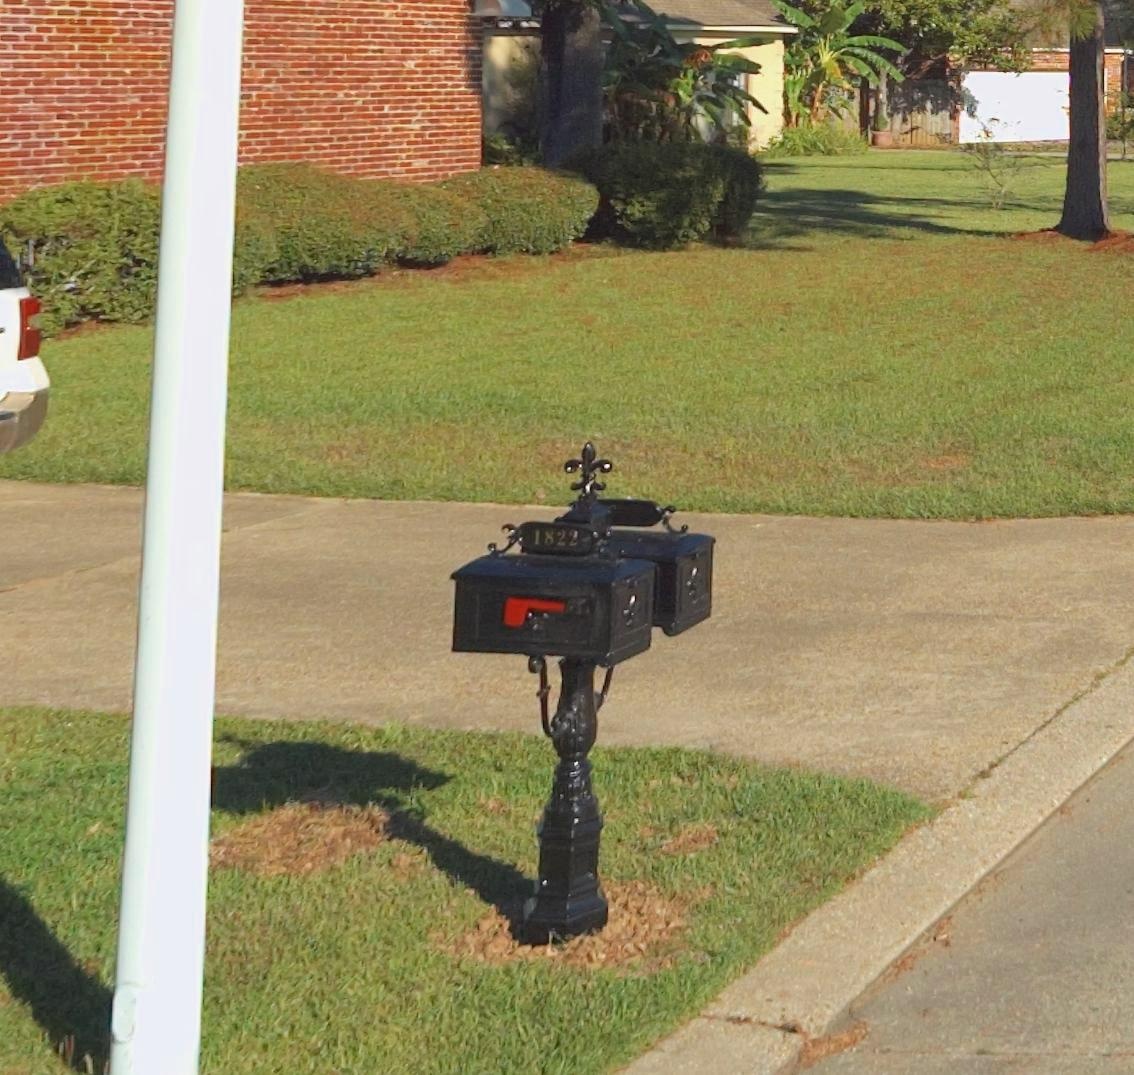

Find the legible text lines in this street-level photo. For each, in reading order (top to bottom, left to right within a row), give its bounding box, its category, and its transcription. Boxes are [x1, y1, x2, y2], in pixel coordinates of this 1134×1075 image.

[531, 526, 581, 549] StreetNumber: 1822